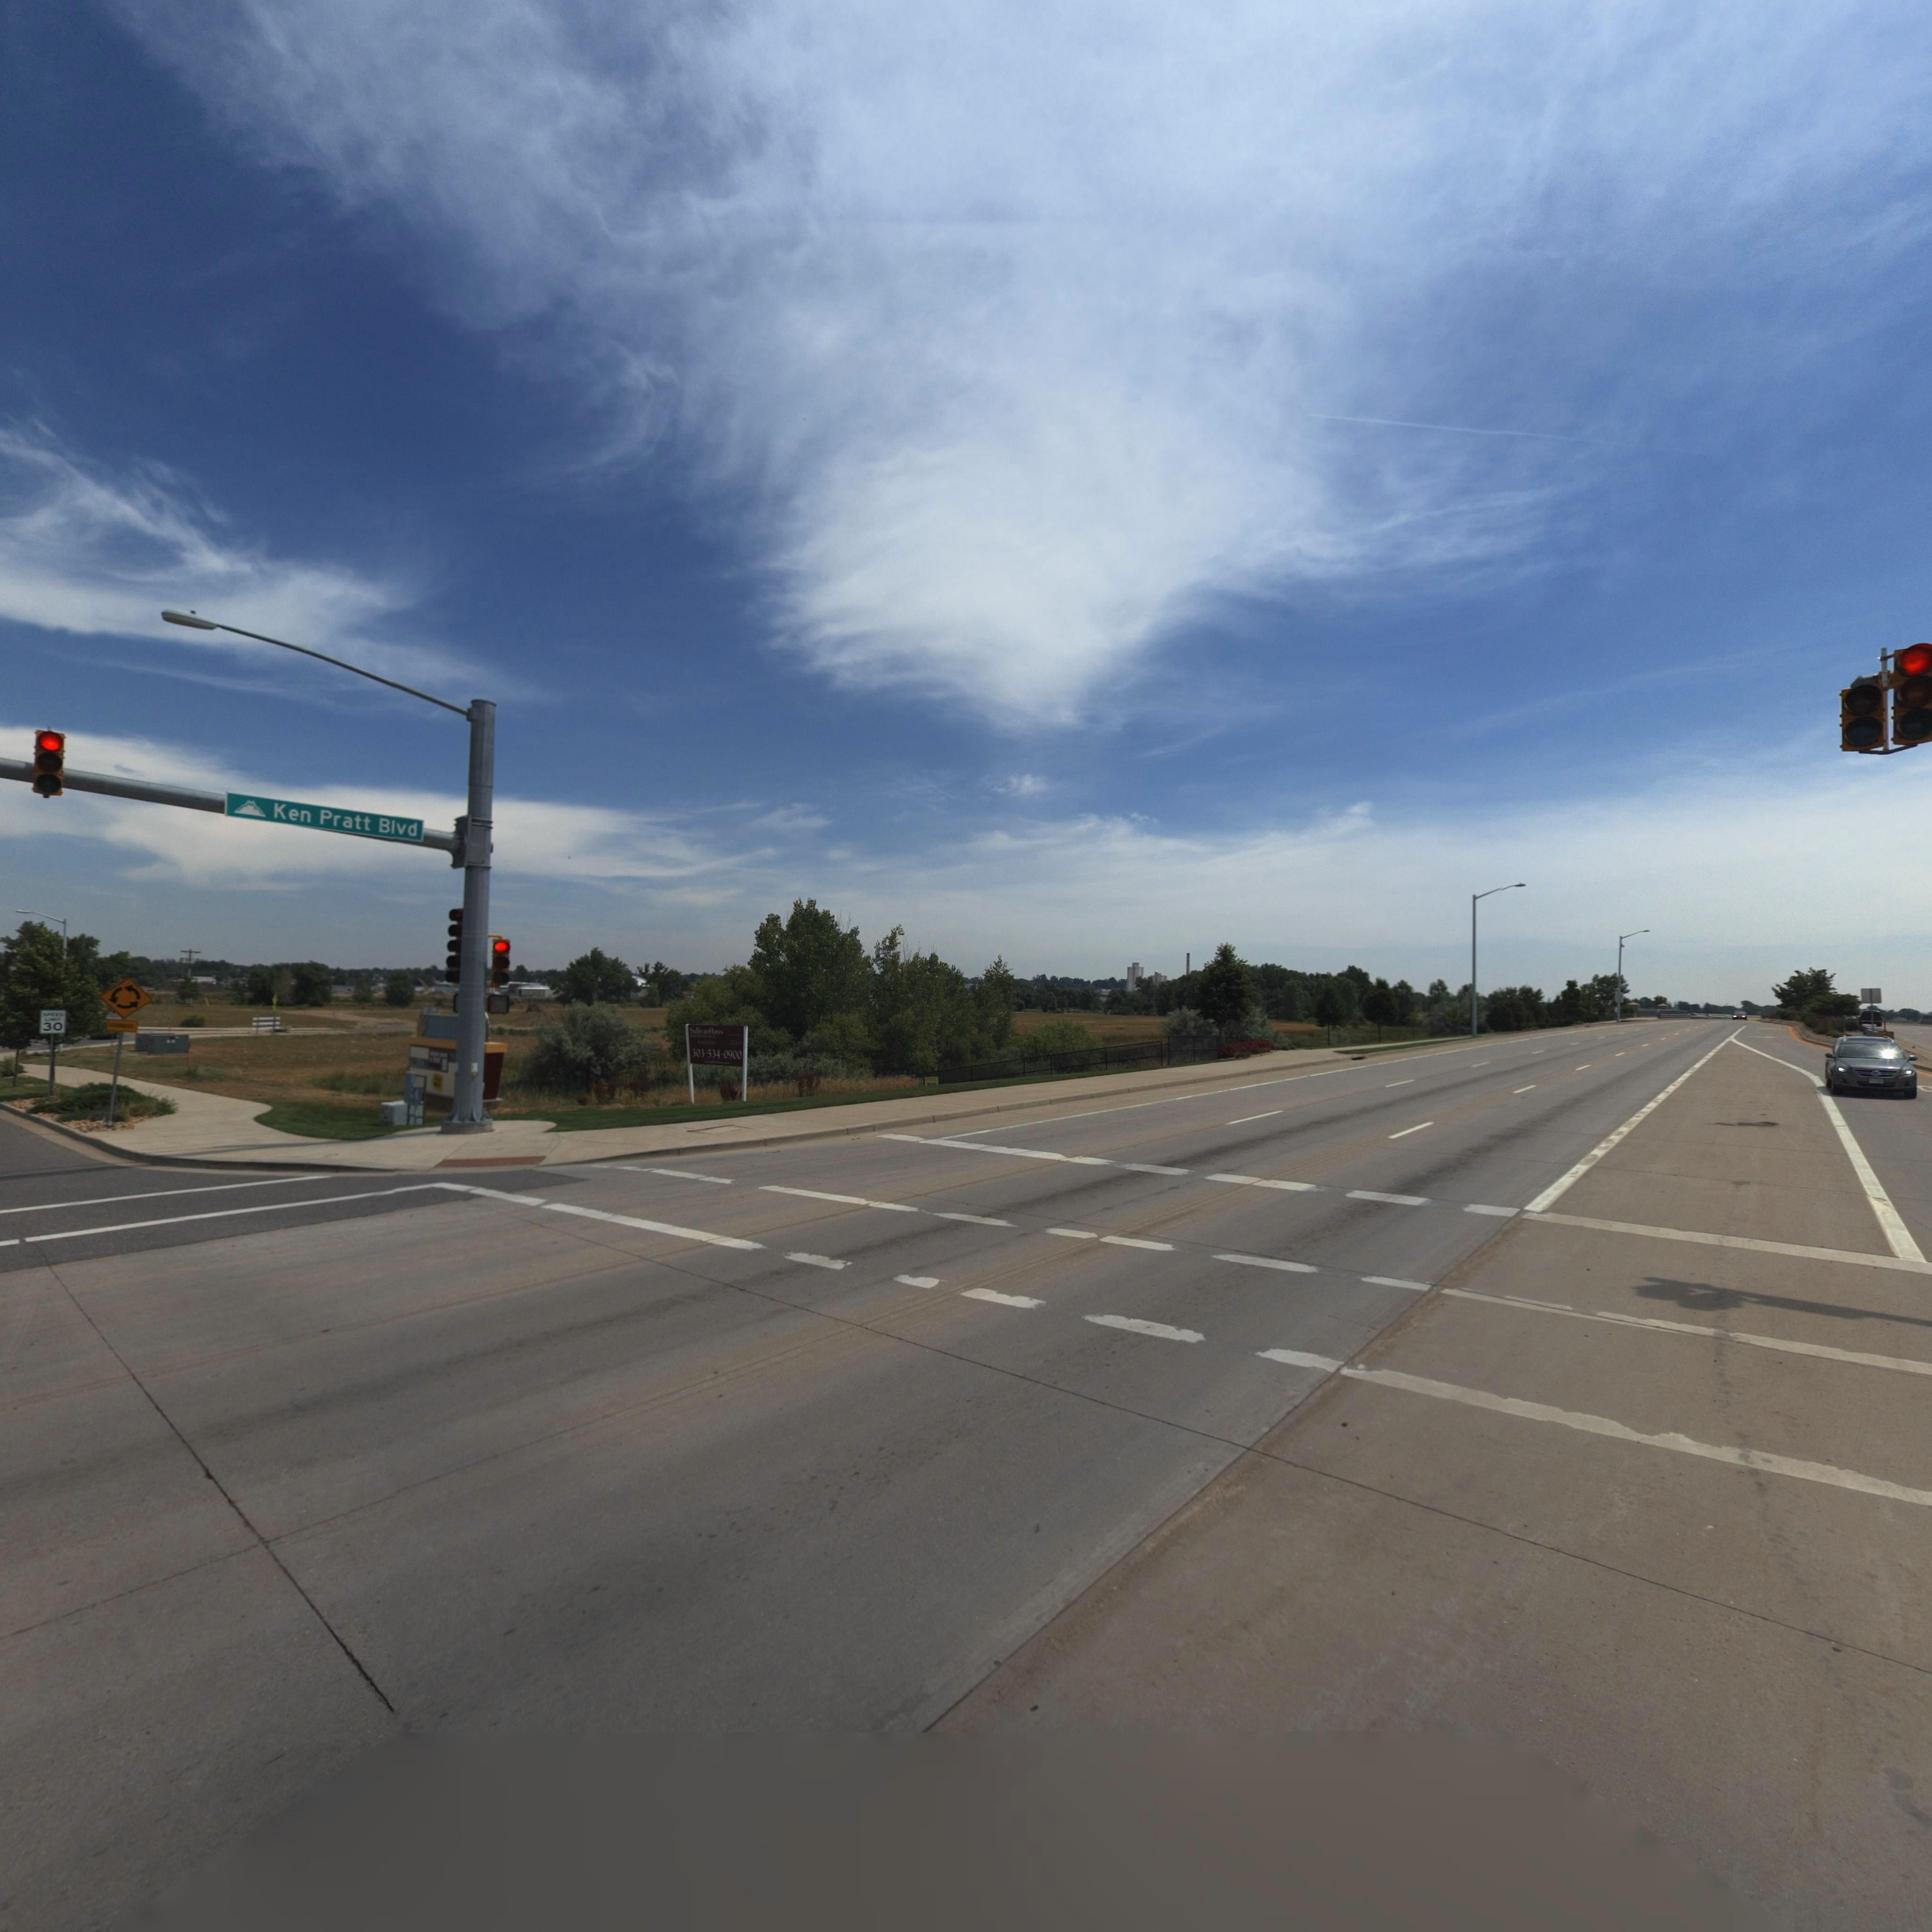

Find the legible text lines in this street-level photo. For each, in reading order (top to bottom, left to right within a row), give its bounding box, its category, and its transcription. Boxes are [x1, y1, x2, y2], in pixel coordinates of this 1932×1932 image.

[273, 802, 417, 837] StreetName: Ken Pratt Blvd